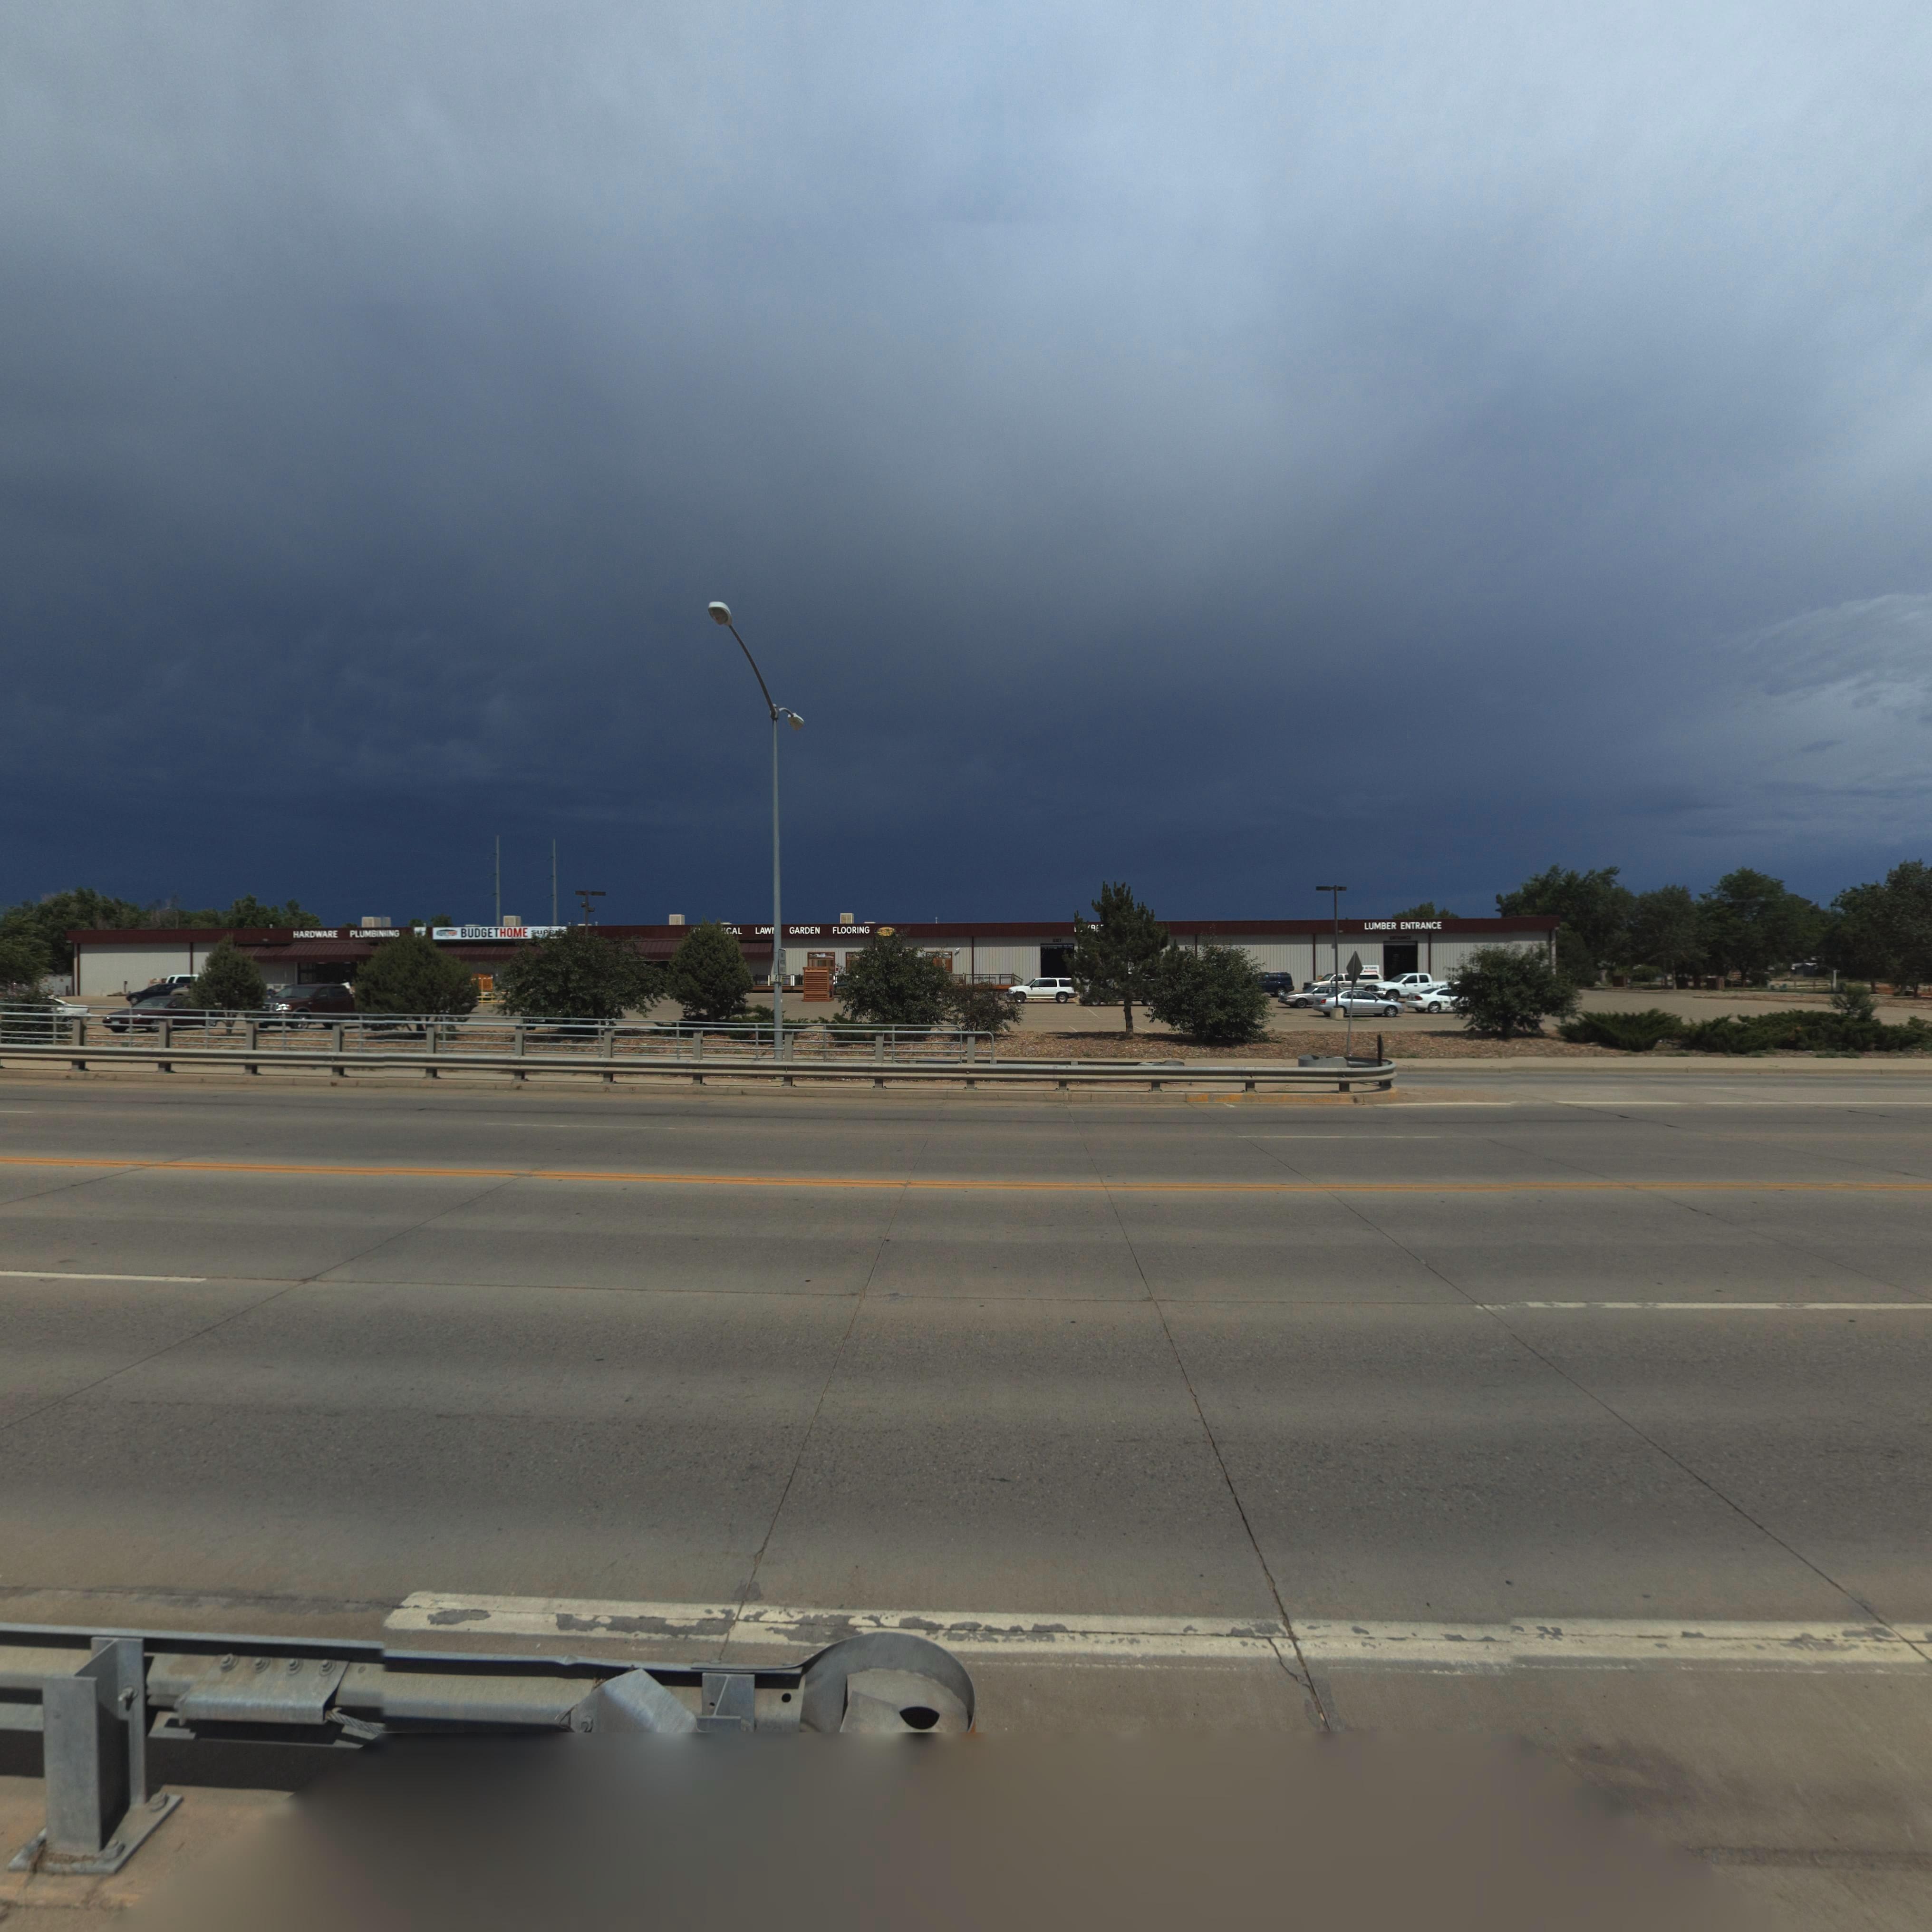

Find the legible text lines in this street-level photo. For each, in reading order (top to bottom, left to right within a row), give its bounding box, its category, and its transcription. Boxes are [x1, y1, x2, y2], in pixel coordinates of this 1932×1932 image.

[460, 927, 555, 938] BusinessName: BUDGETHOME SUPP